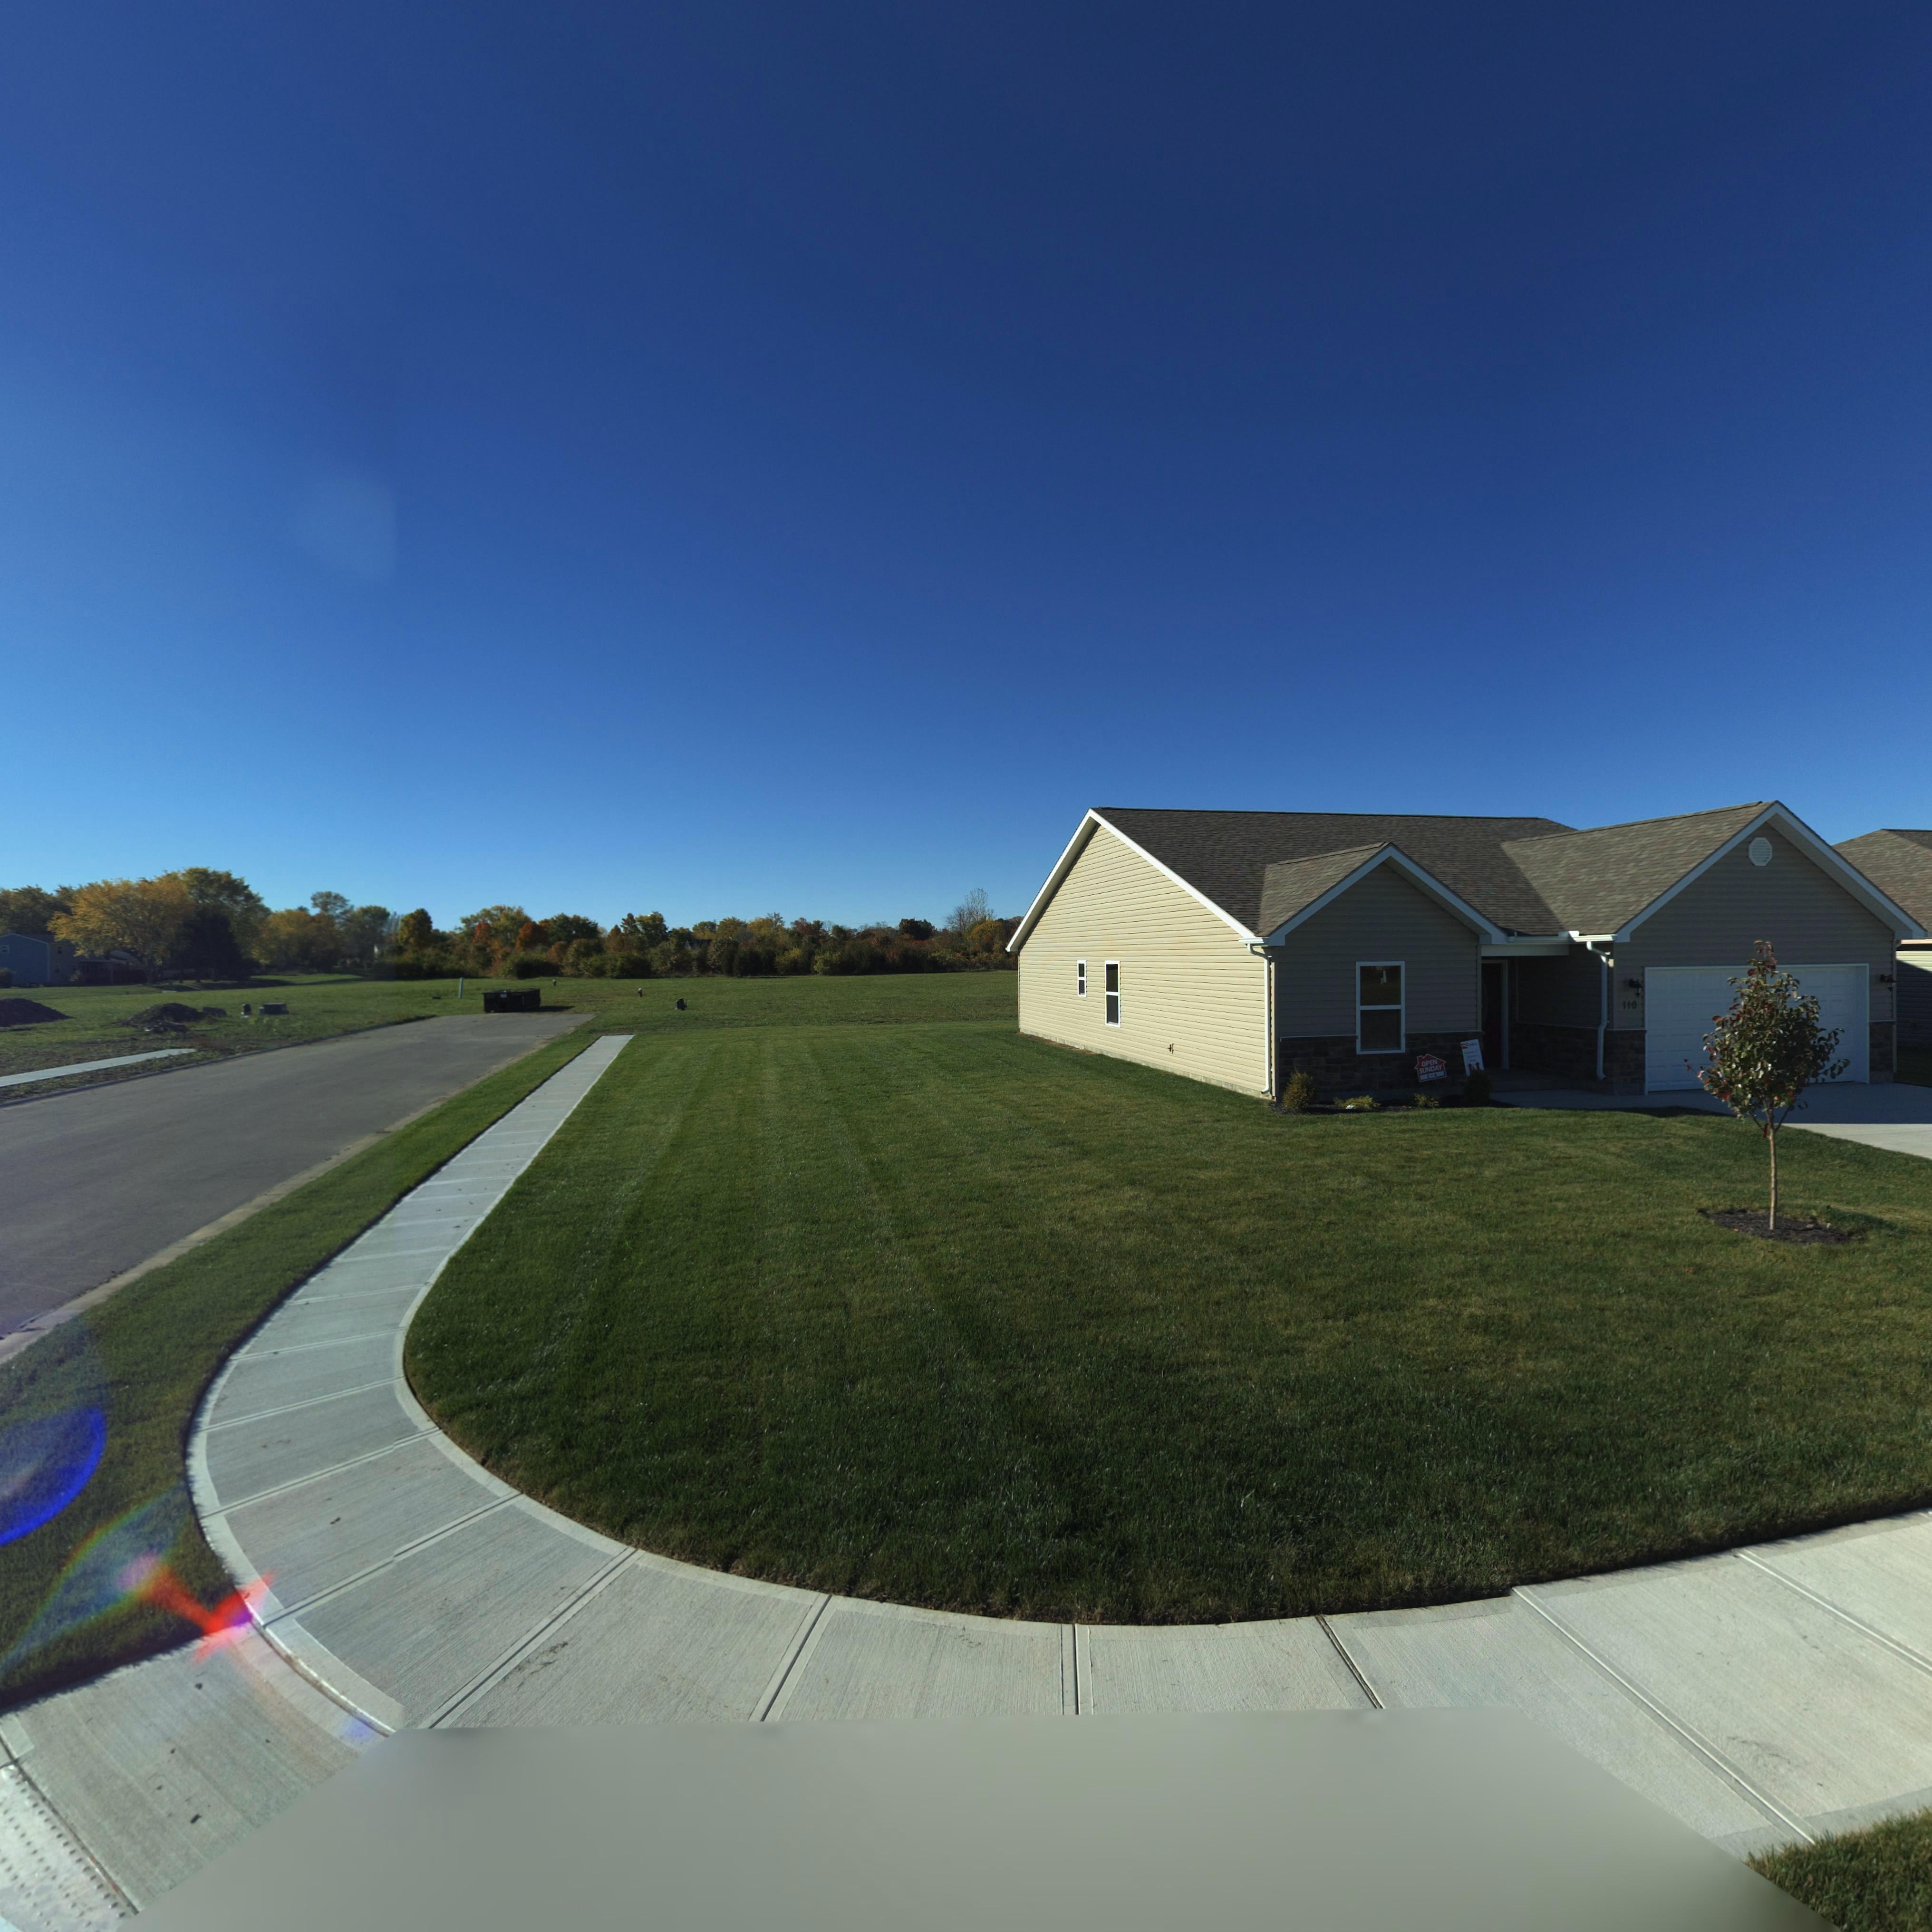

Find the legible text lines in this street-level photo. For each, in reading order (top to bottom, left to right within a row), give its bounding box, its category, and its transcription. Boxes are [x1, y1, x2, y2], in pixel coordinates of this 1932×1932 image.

[1622, 1000, 1637, 1010] StreetNumber: 110